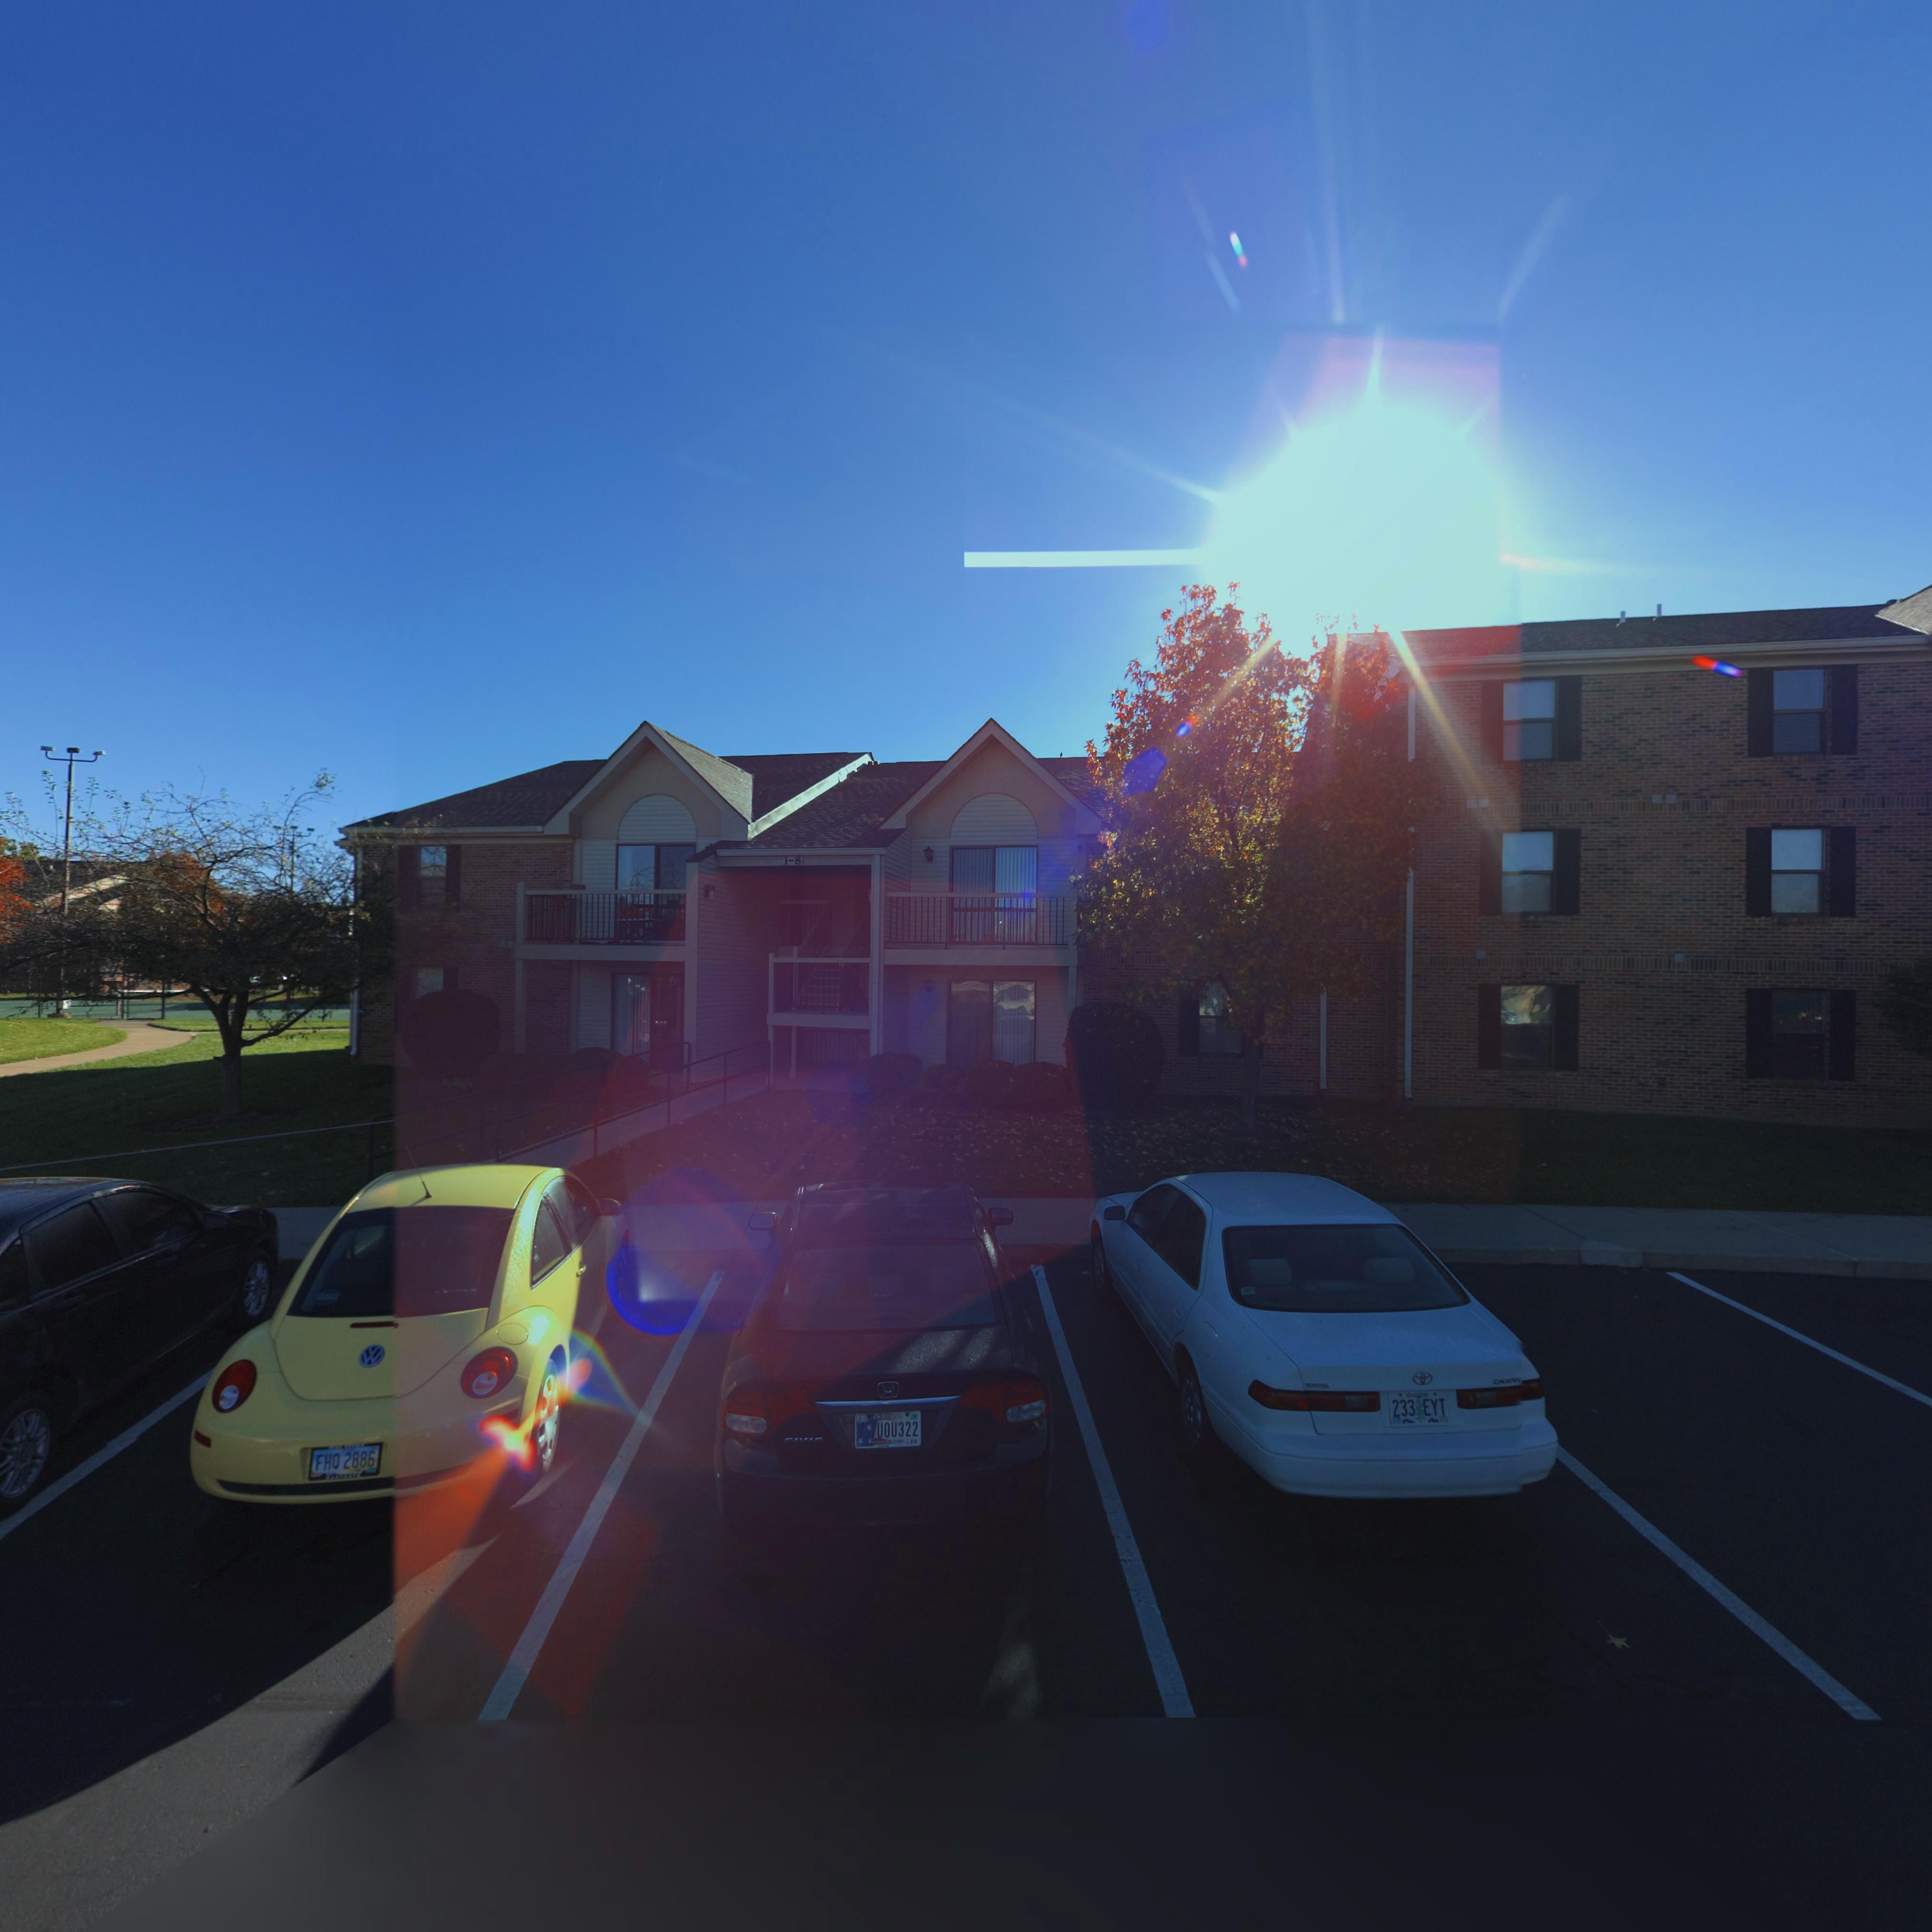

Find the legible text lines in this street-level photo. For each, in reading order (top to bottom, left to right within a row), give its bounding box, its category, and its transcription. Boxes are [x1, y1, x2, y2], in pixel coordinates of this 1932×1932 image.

[783, 855, 802, 865] StreetNumber: 1-8